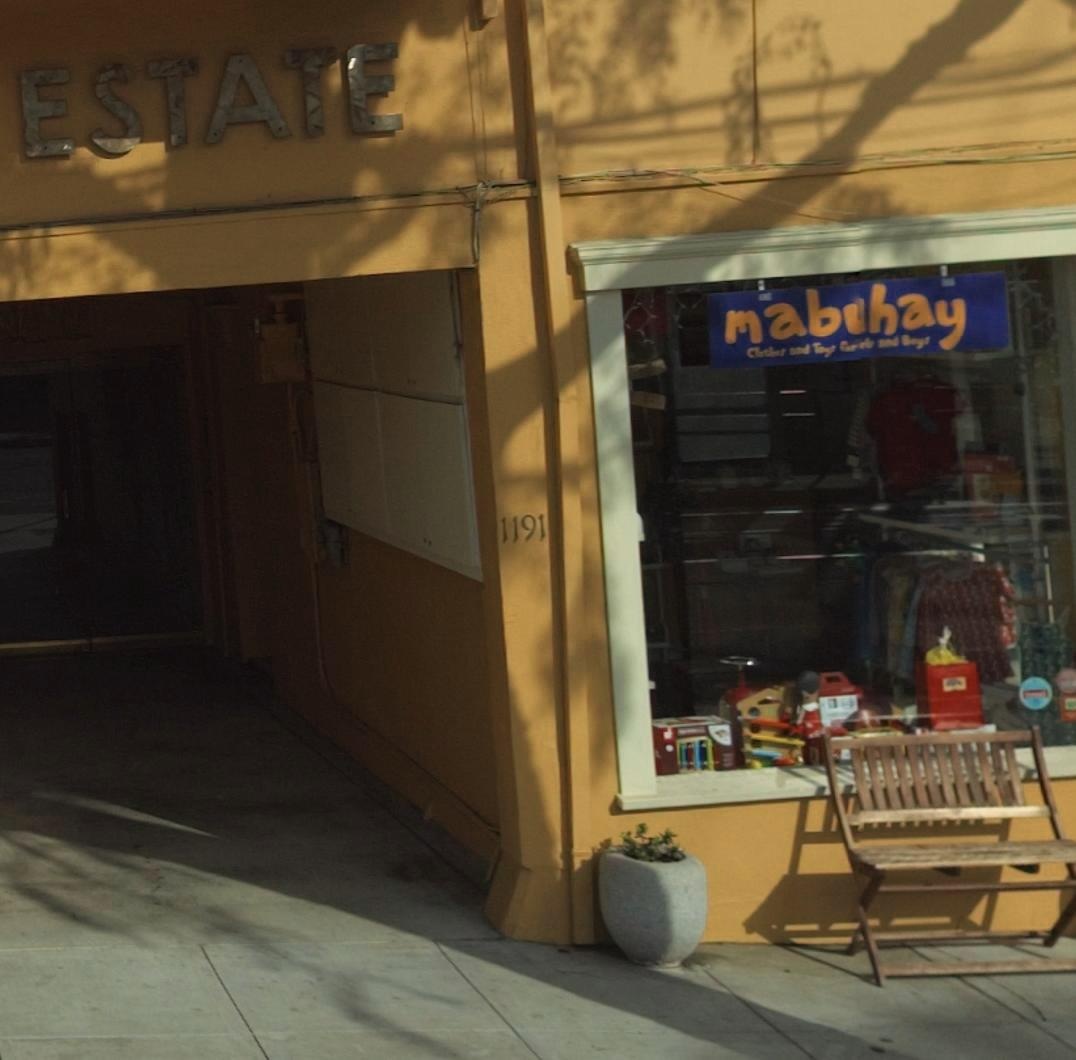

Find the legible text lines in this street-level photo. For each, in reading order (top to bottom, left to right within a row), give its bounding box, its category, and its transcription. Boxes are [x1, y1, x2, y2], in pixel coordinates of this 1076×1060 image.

[17, 41, 406, 162] None: ESTATE
[722, 280, 970, 353] BusinessName: MABUHAY
[500, 512, 548, 544] StreetNumber: 1191